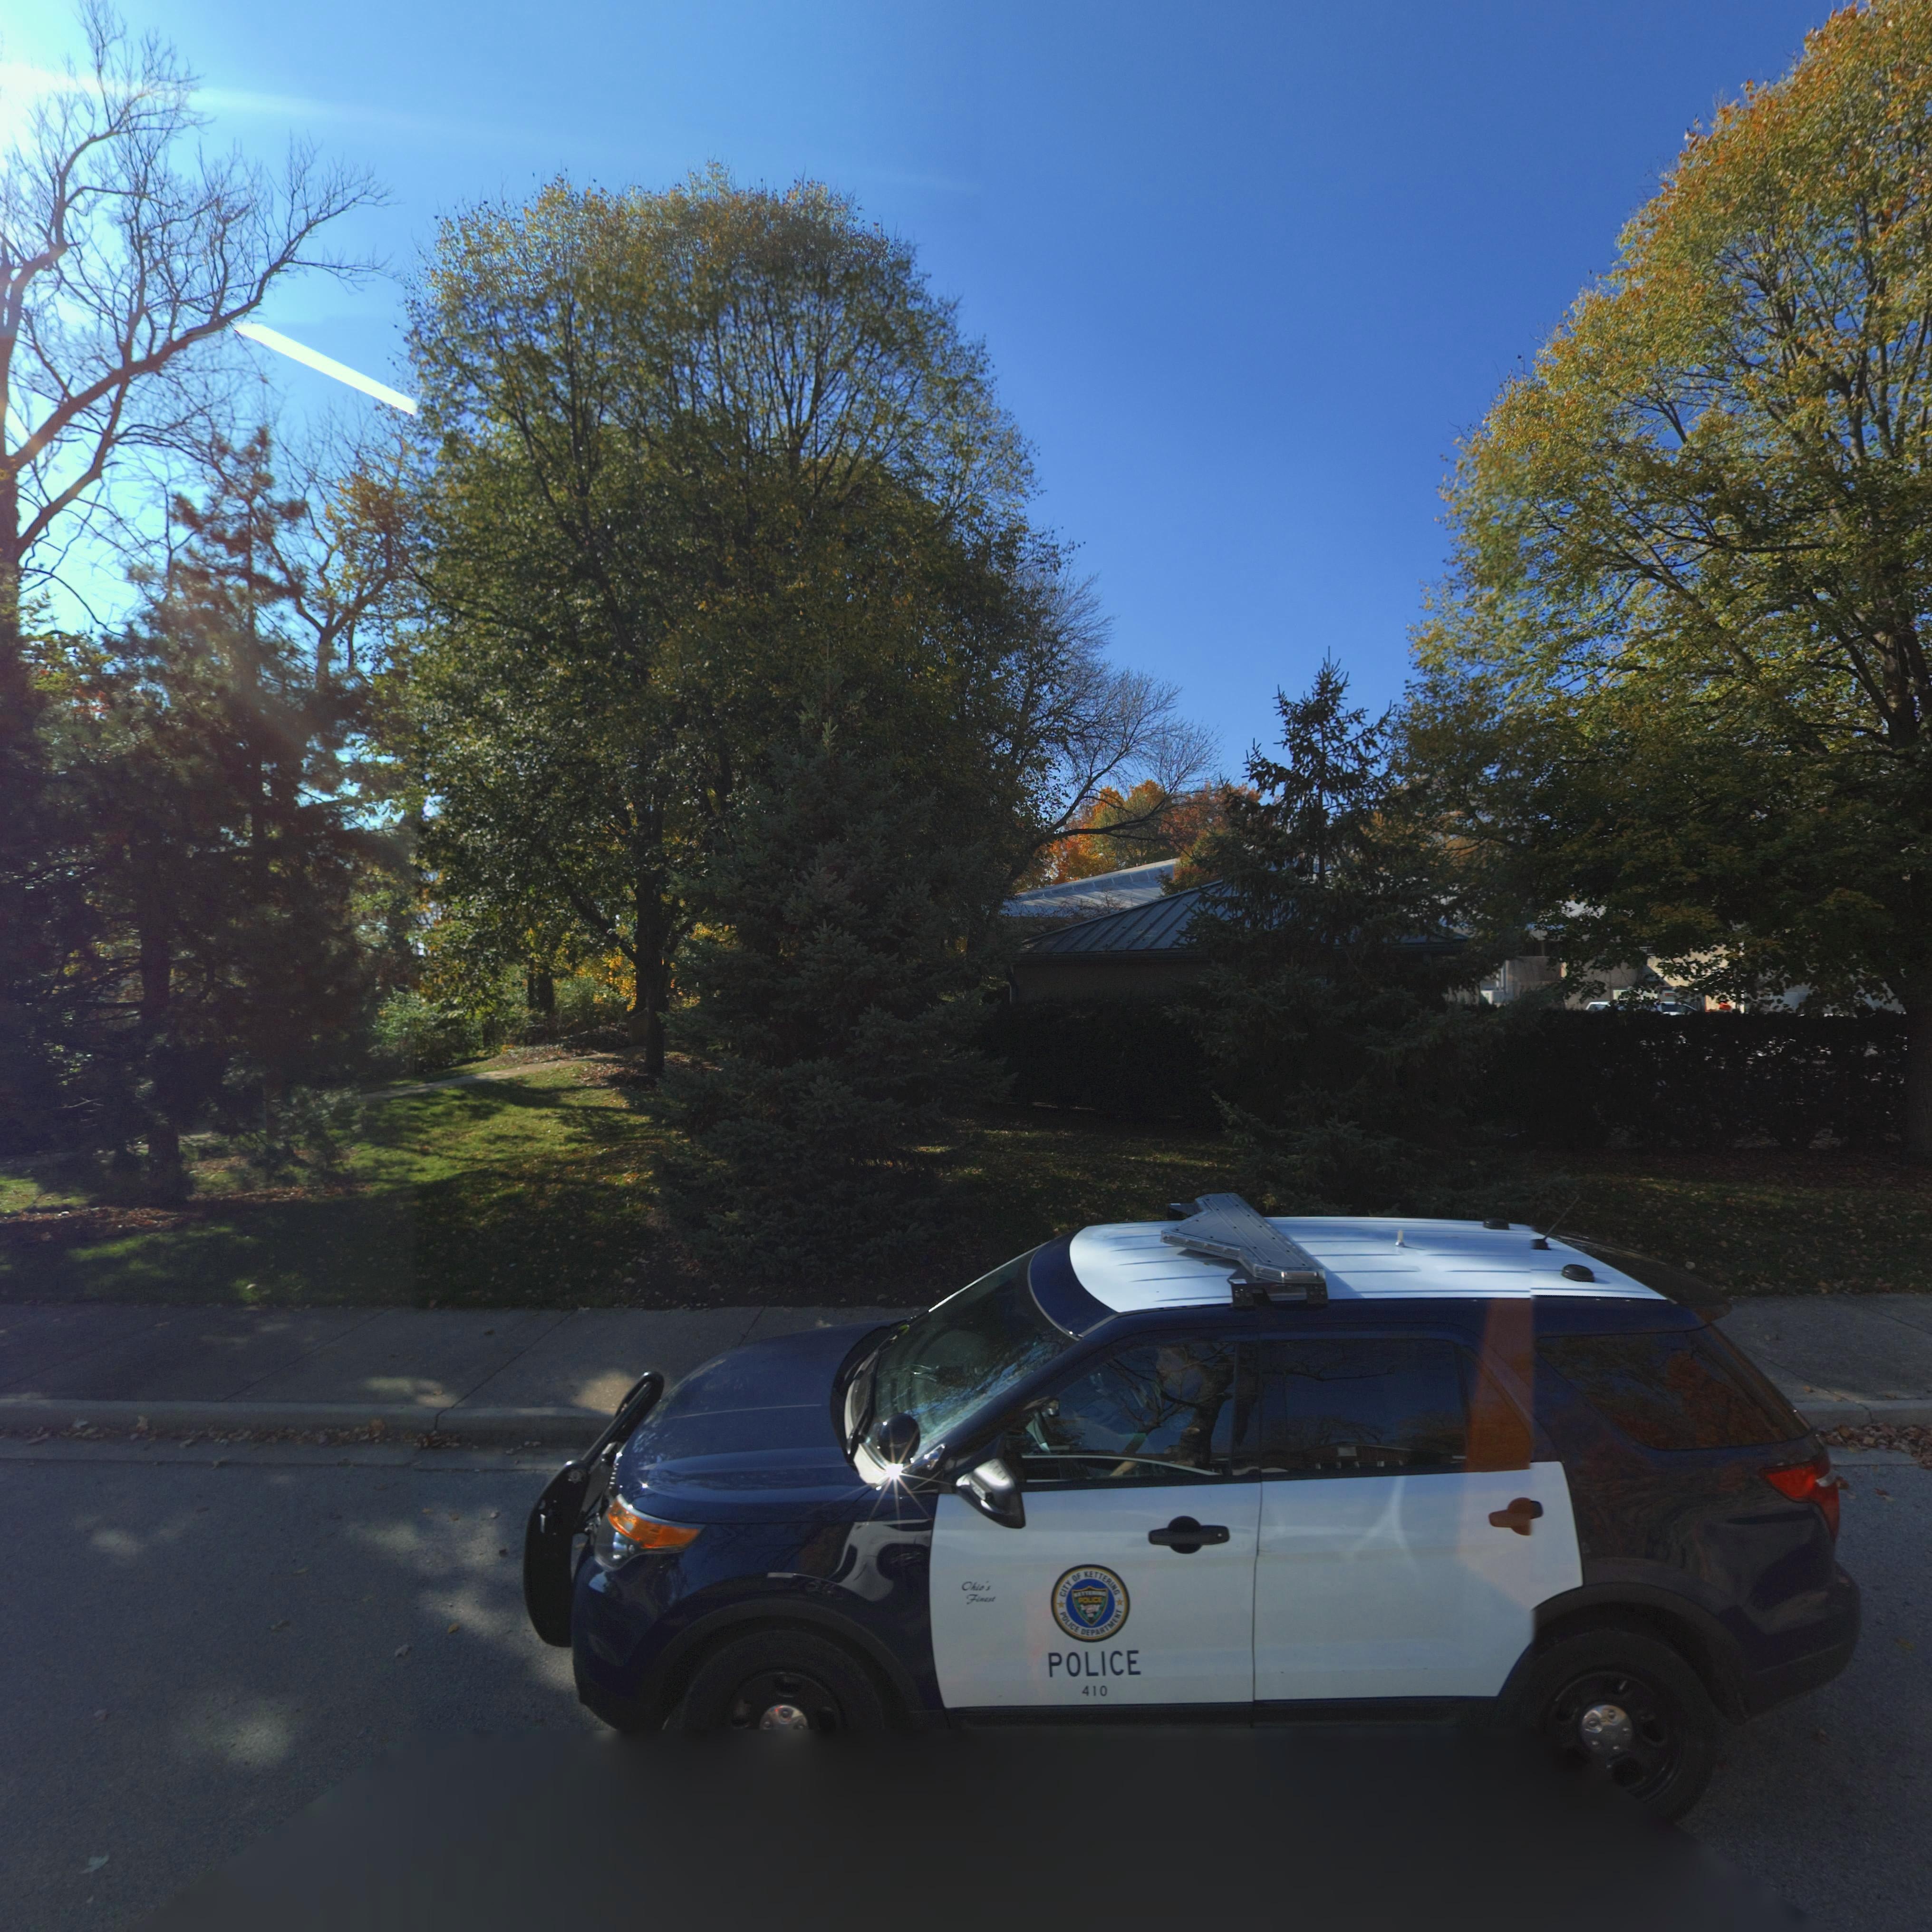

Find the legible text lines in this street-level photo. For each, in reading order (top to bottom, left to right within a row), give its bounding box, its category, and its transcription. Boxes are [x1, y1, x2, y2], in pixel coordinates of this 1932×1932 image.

[961, 1580, 992, 1592] None: Ohio's
[966, 1593, 996, 1604] None: Finest
[1058, 1570, 1121, 1598] None: CITY OF KETTERING
[1058, 1608, 1123, 1636] None: POLICE DEPARTMENT
[1047, 1650, 1141, 1678] None: POLICE
[1081, 1684, 1107, 1697] None: 410